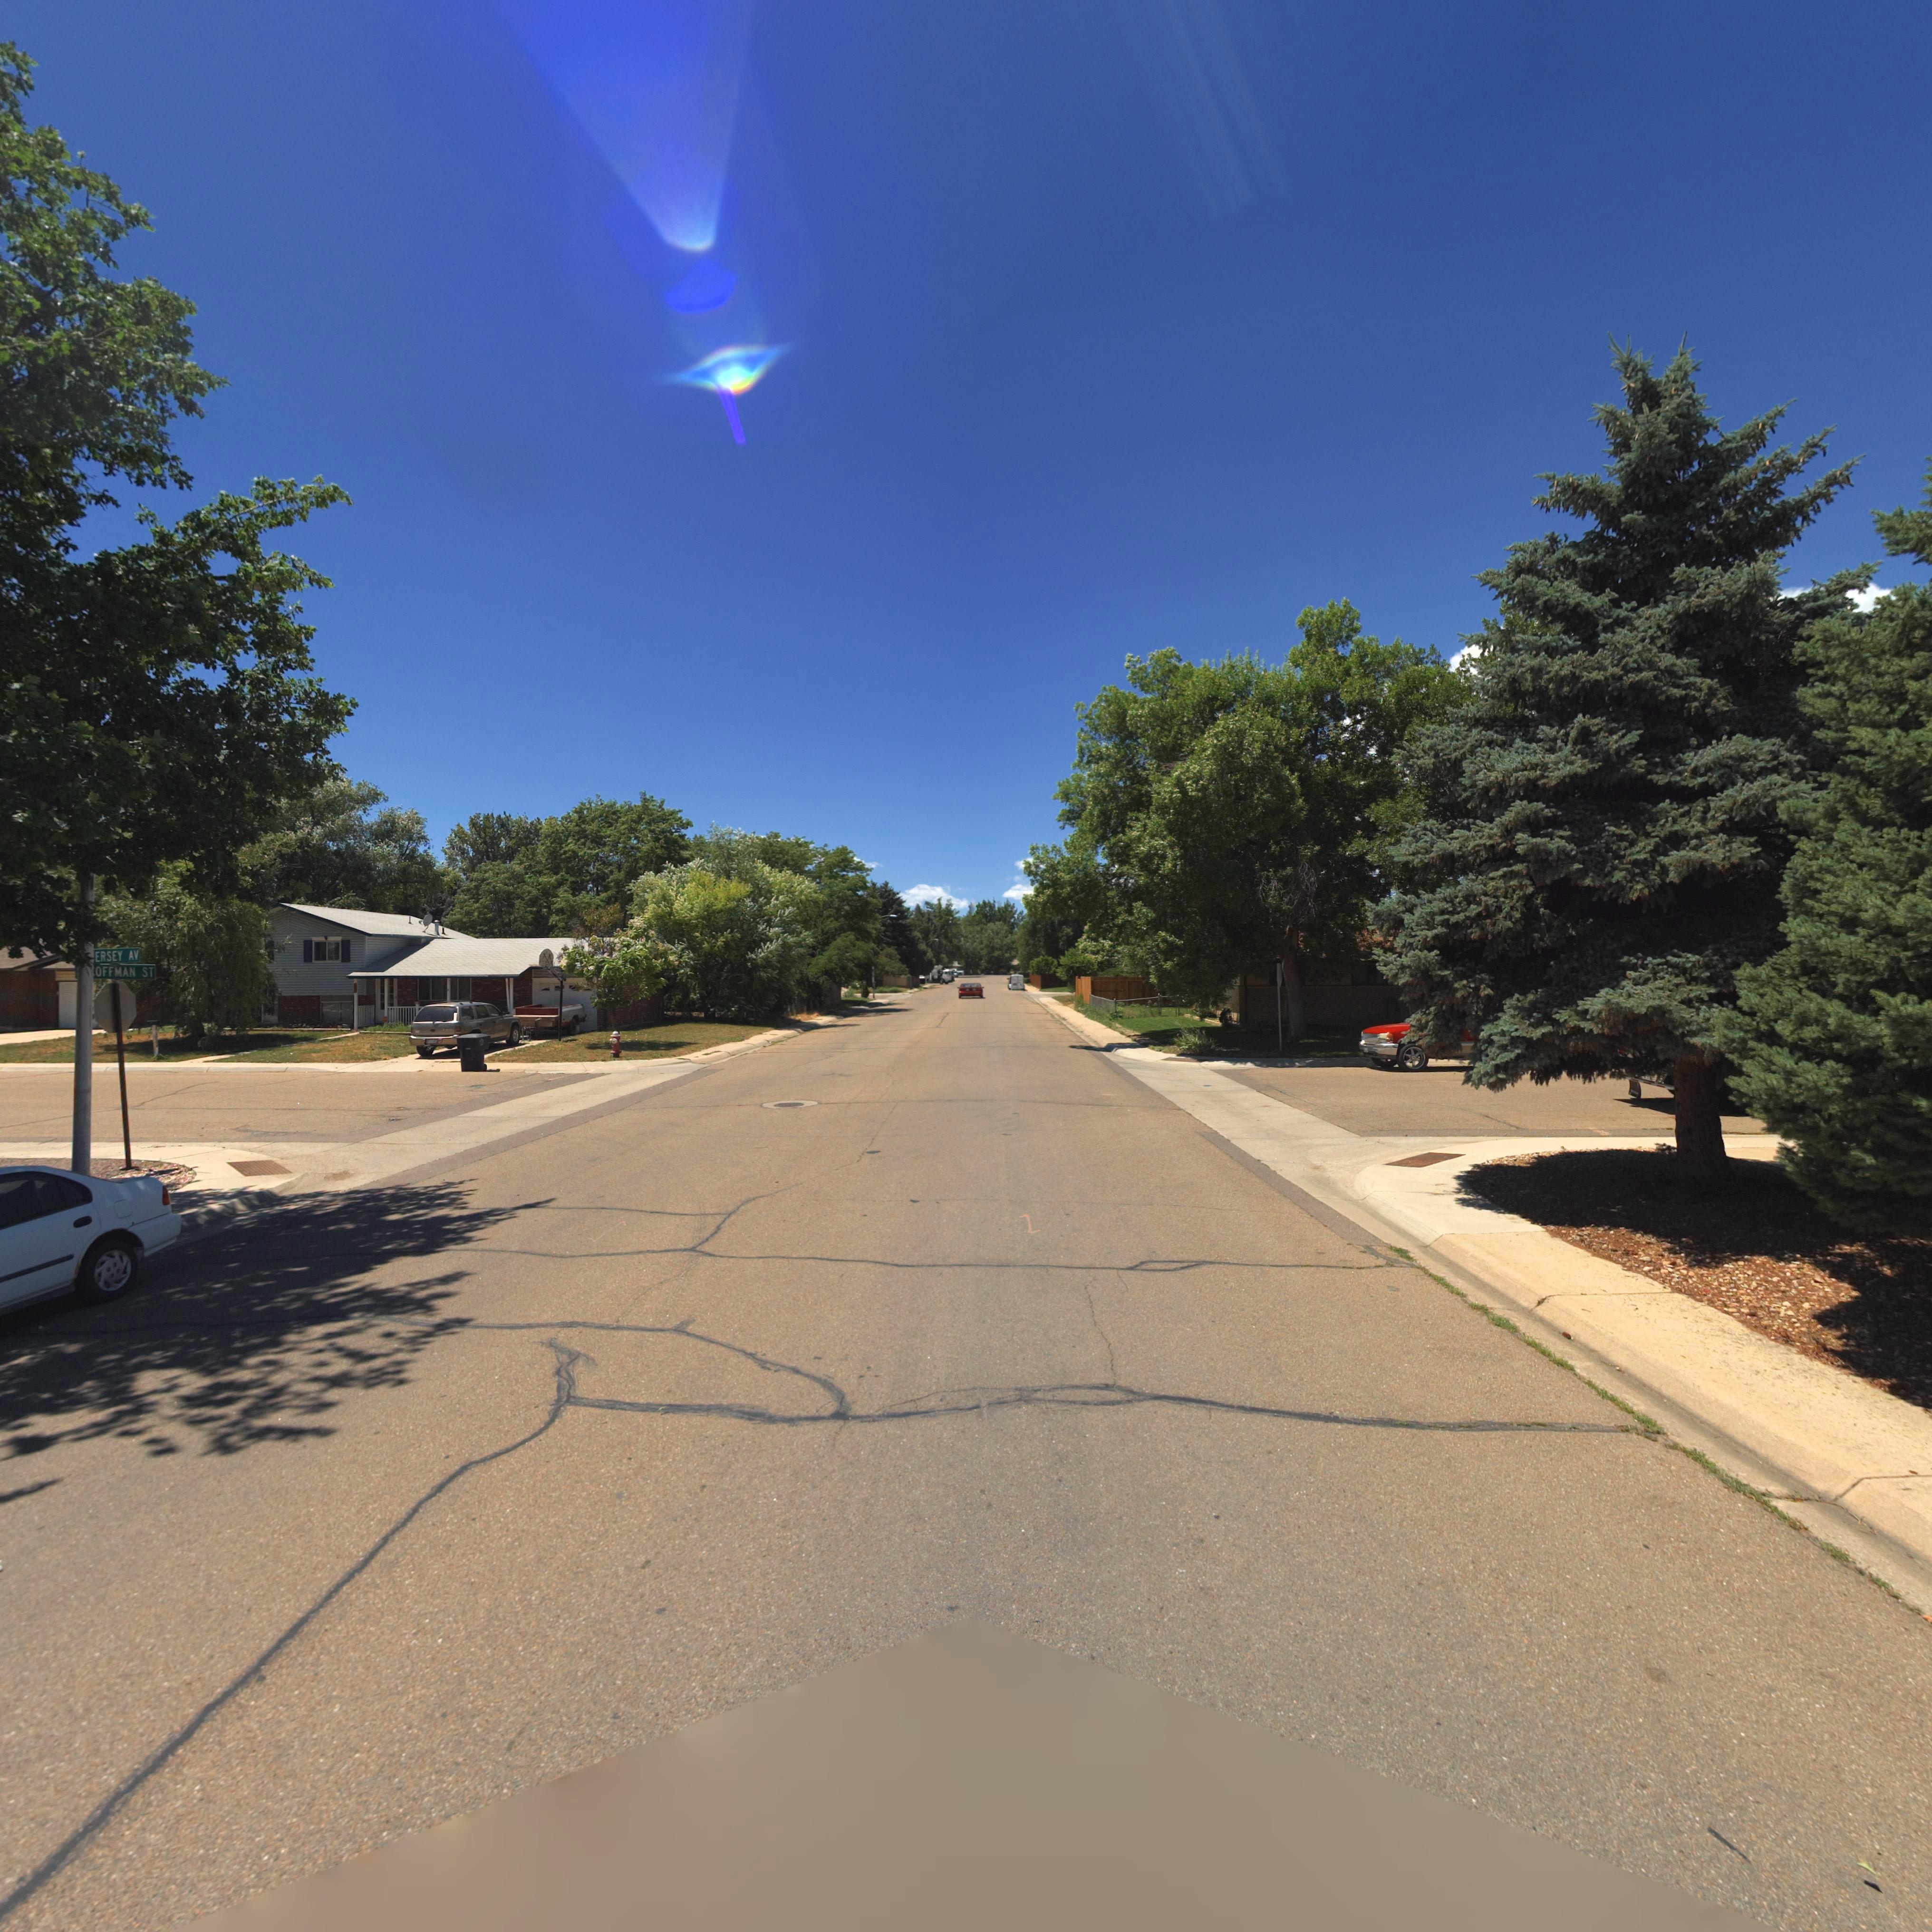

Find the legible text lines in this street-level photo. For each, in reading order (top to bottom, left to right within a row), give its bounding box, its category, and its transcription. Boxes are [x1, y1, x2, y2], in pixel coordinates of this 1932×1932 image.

[93, 949, 139, 963] StreetName: ERSEY AV
[94, 966, 155, 978] StreetName: OFFMAN ST